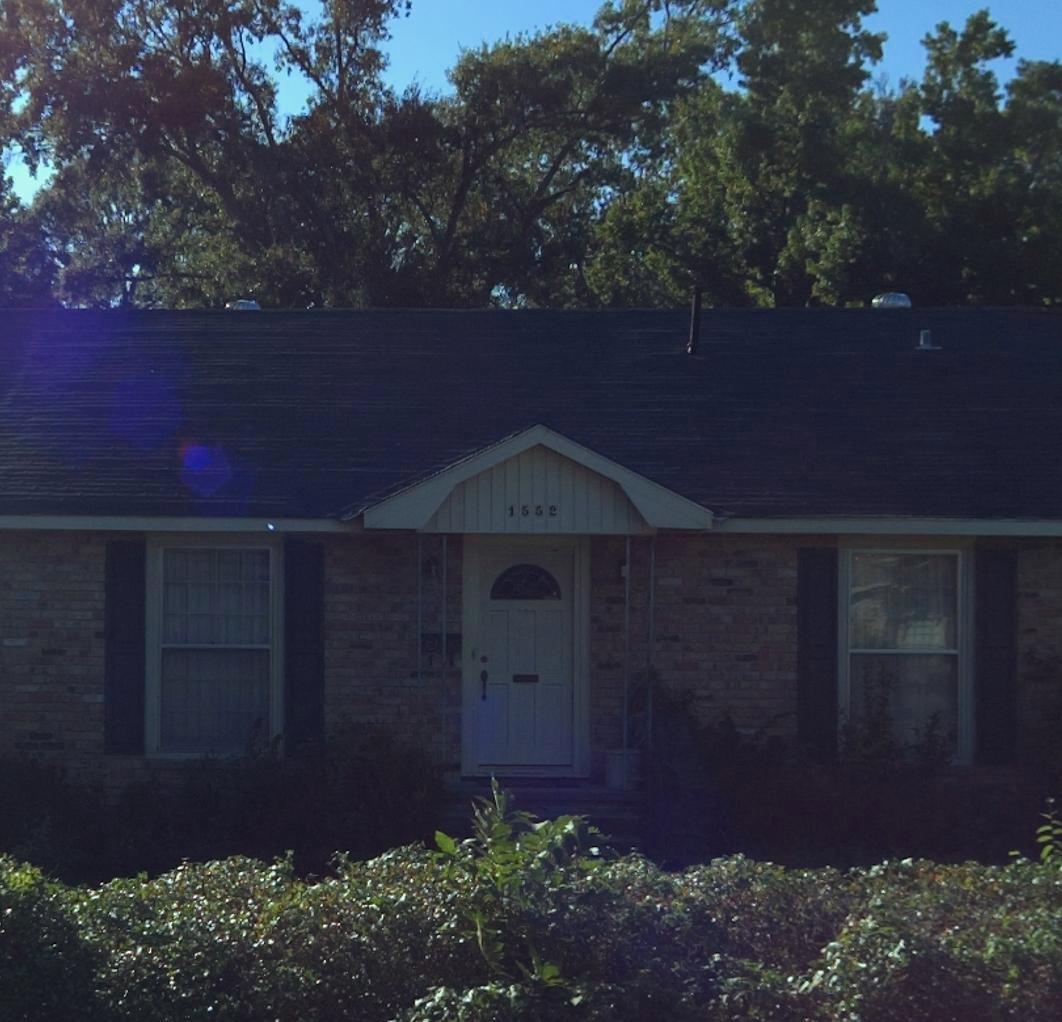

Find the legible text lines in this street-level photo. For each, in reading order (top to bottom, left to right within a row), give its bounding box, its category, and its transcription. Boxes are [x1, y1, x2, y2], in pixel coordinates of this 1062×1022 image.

[507, 503, 558, 518] StreetNumber: 1552